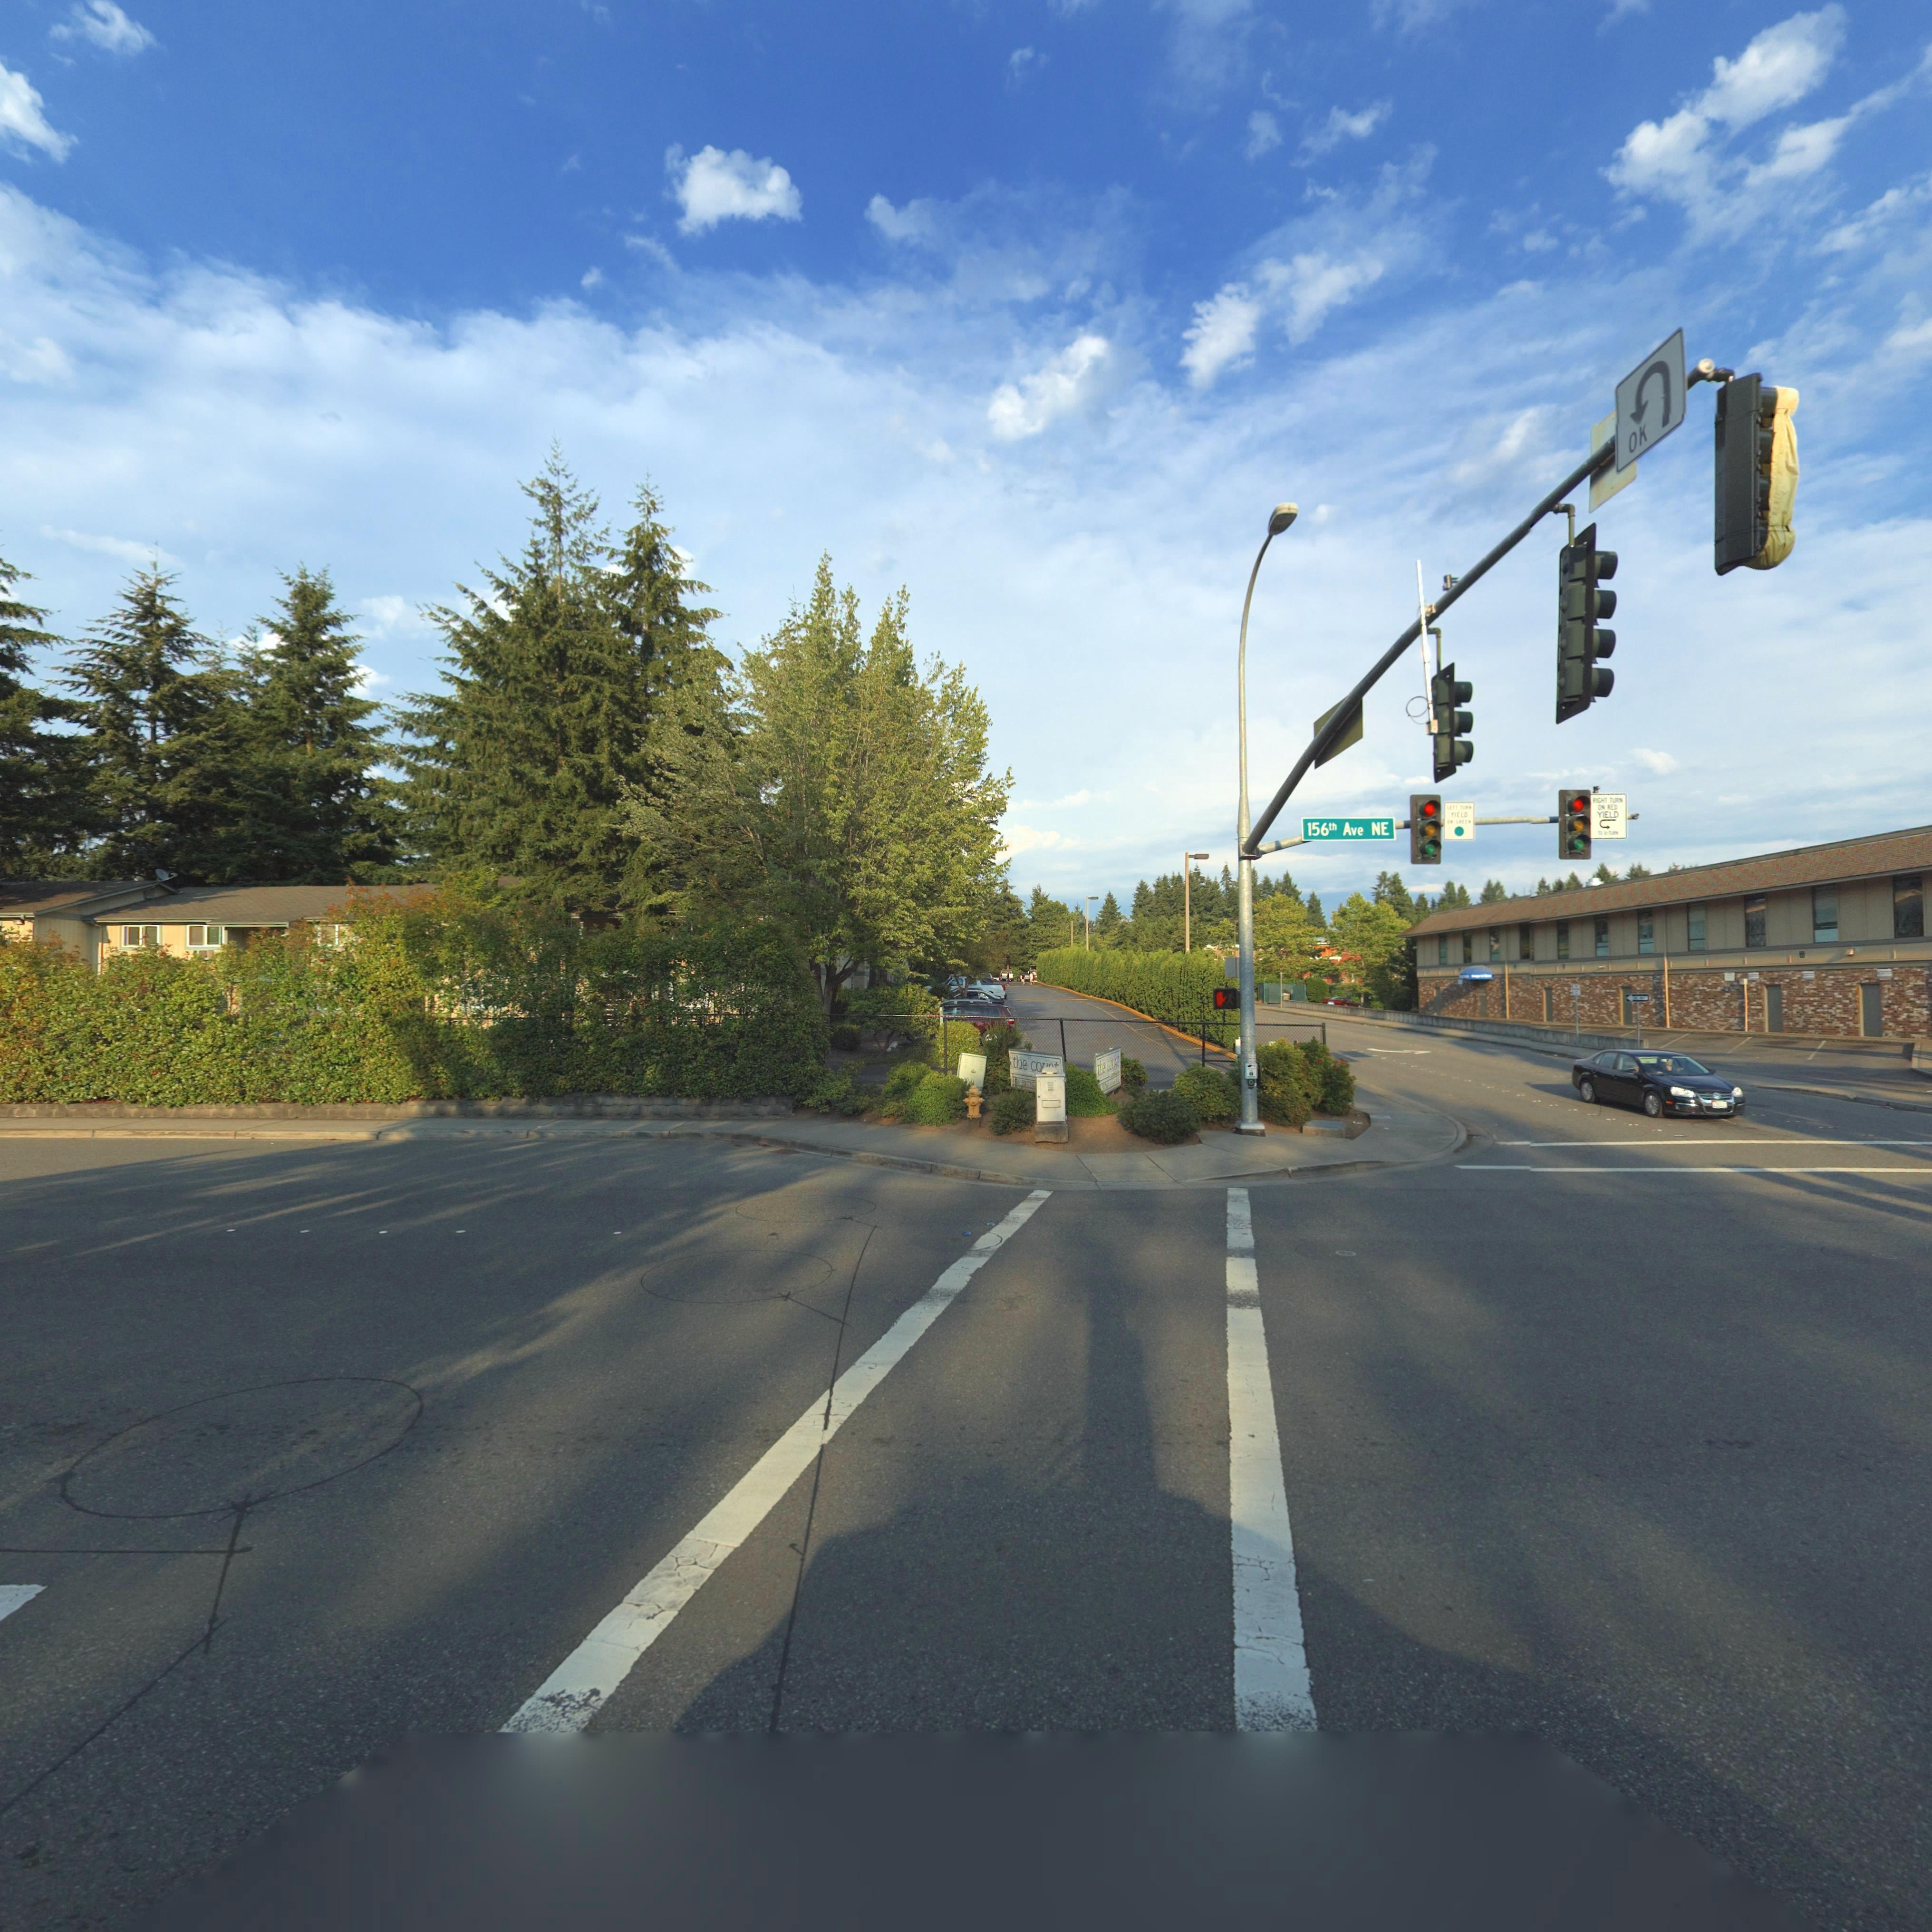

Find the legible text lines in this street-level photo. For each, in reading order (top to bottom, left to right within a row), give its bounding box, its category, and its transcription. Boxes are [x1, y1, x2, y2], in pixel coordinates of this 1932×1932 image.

[1306, 821, 1391, 836] StreetName: 156th Ave NE